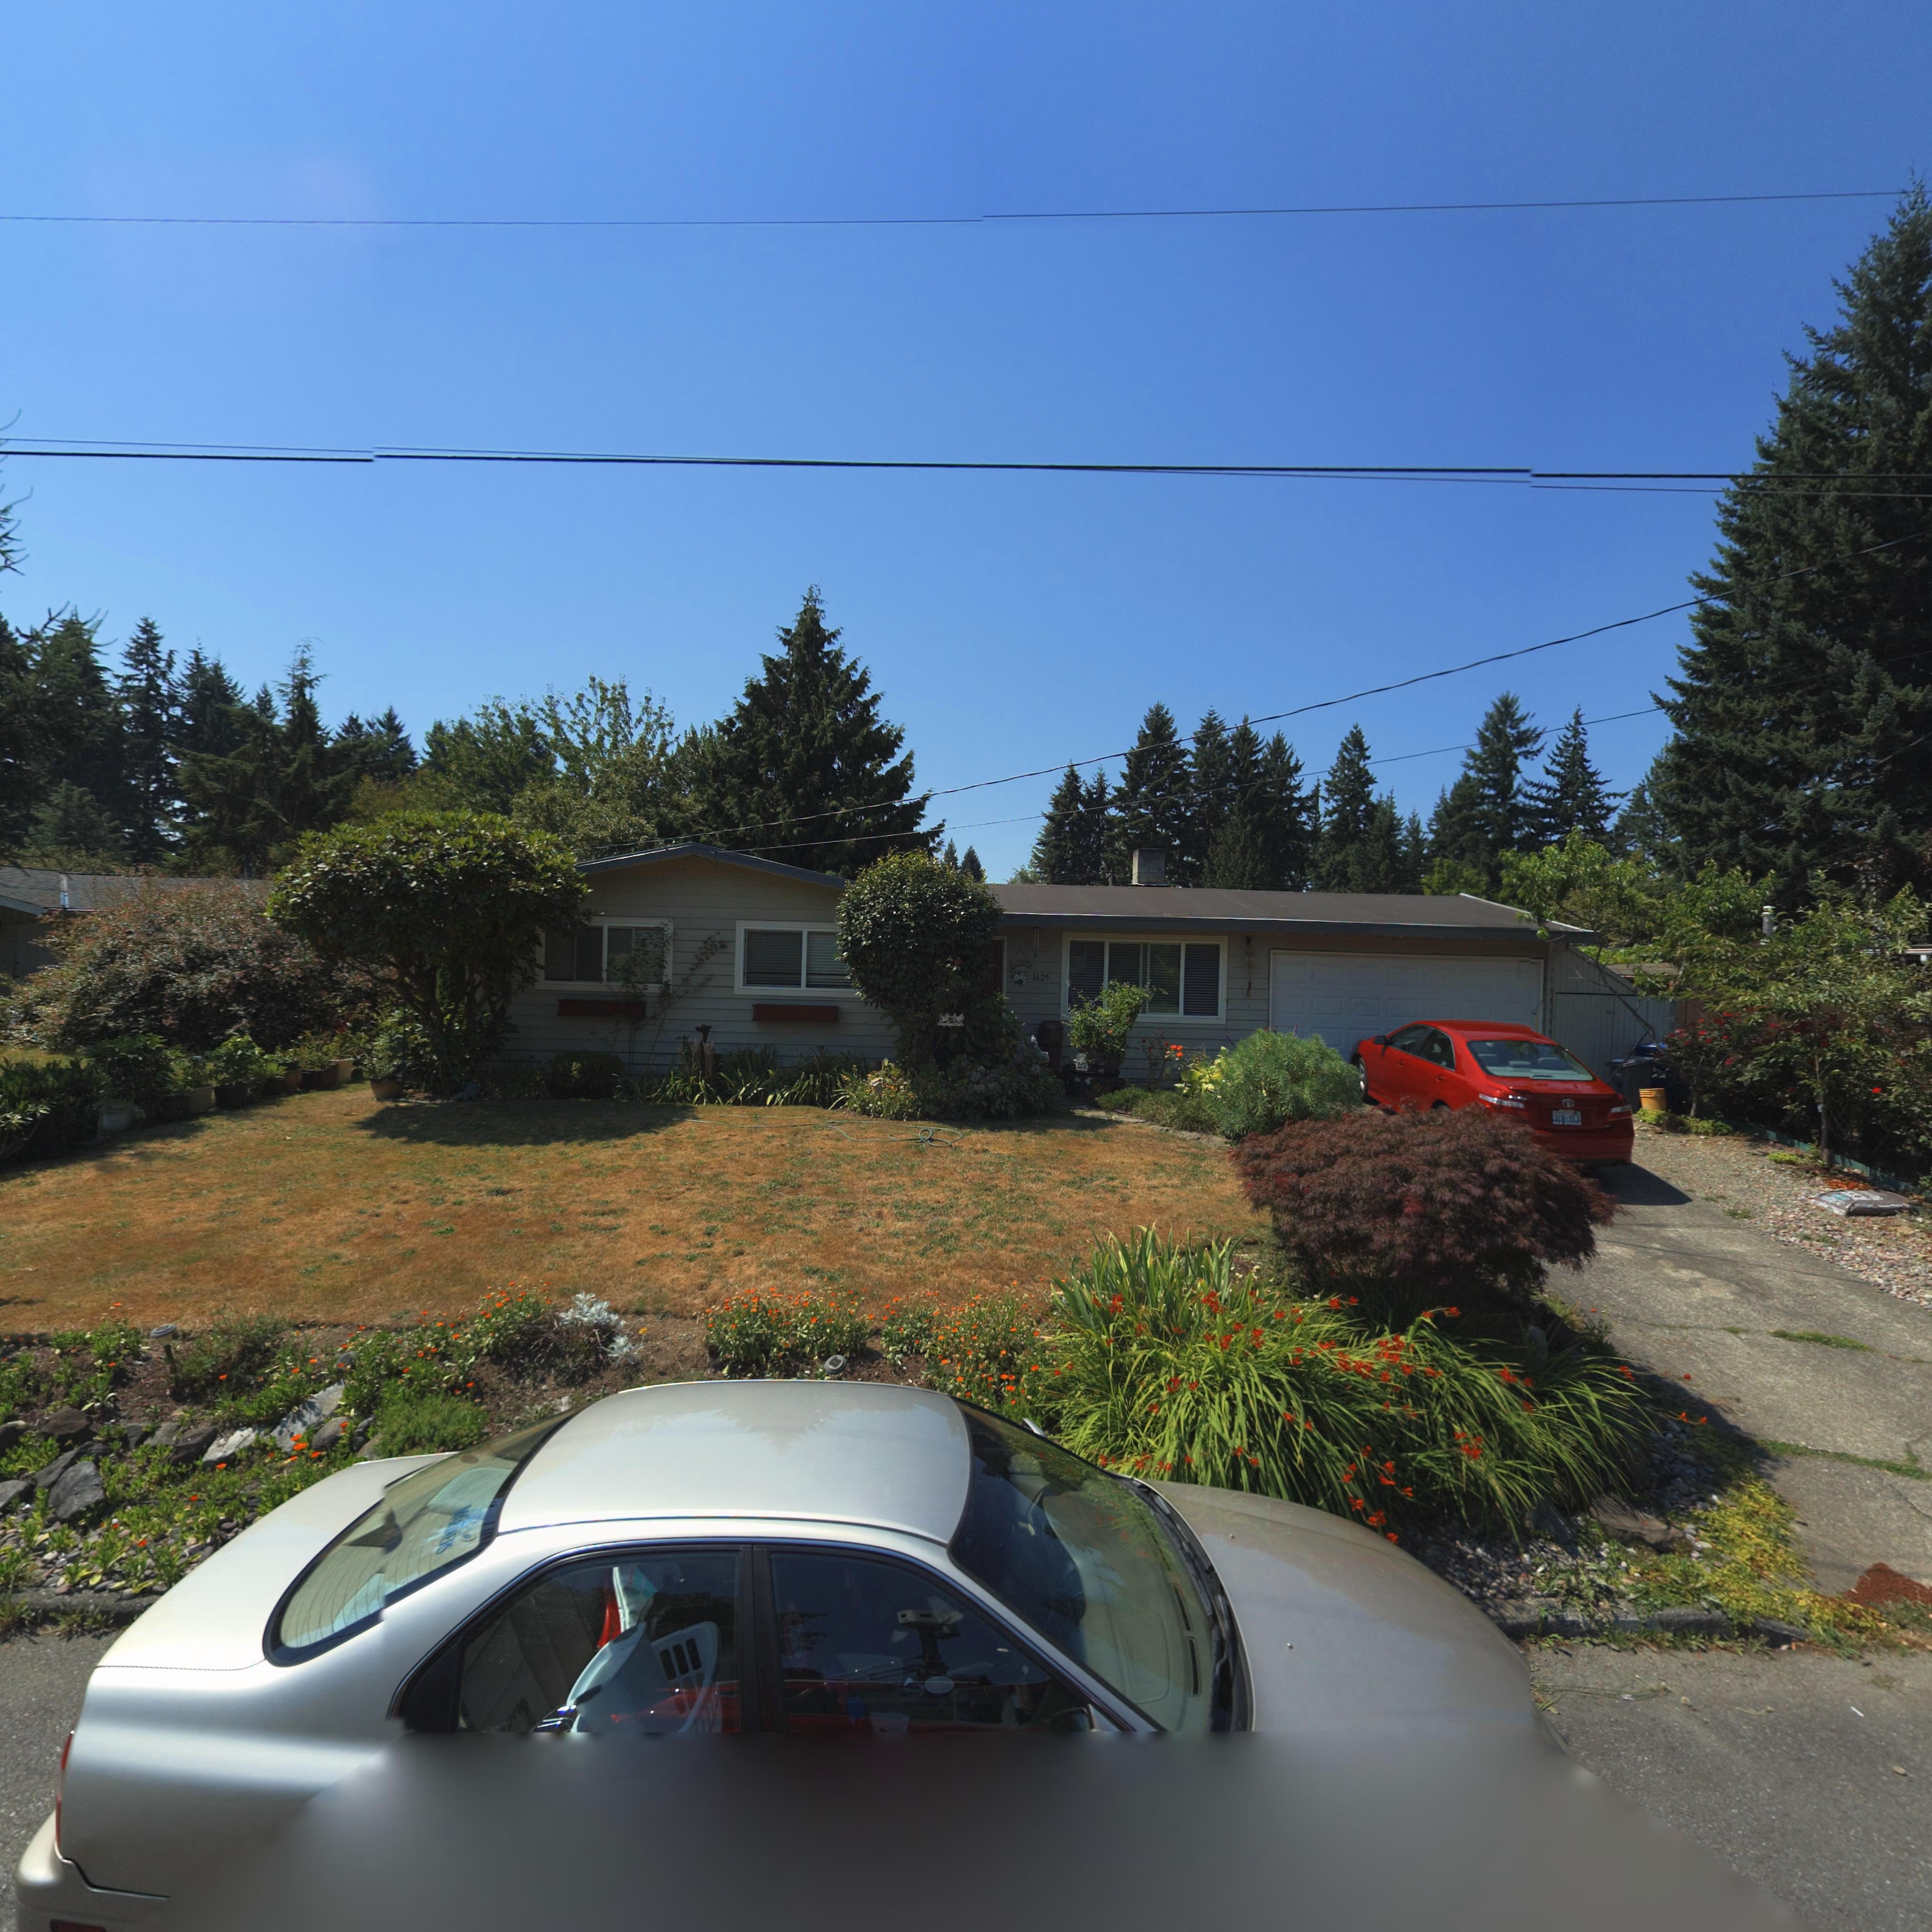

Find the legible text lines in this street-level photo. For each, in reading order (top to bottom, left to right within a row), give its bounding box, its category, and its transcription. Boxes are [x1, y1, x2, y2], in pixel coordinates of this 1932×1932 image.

[1033, 974, 1049, 981] StreetNumber: 1625